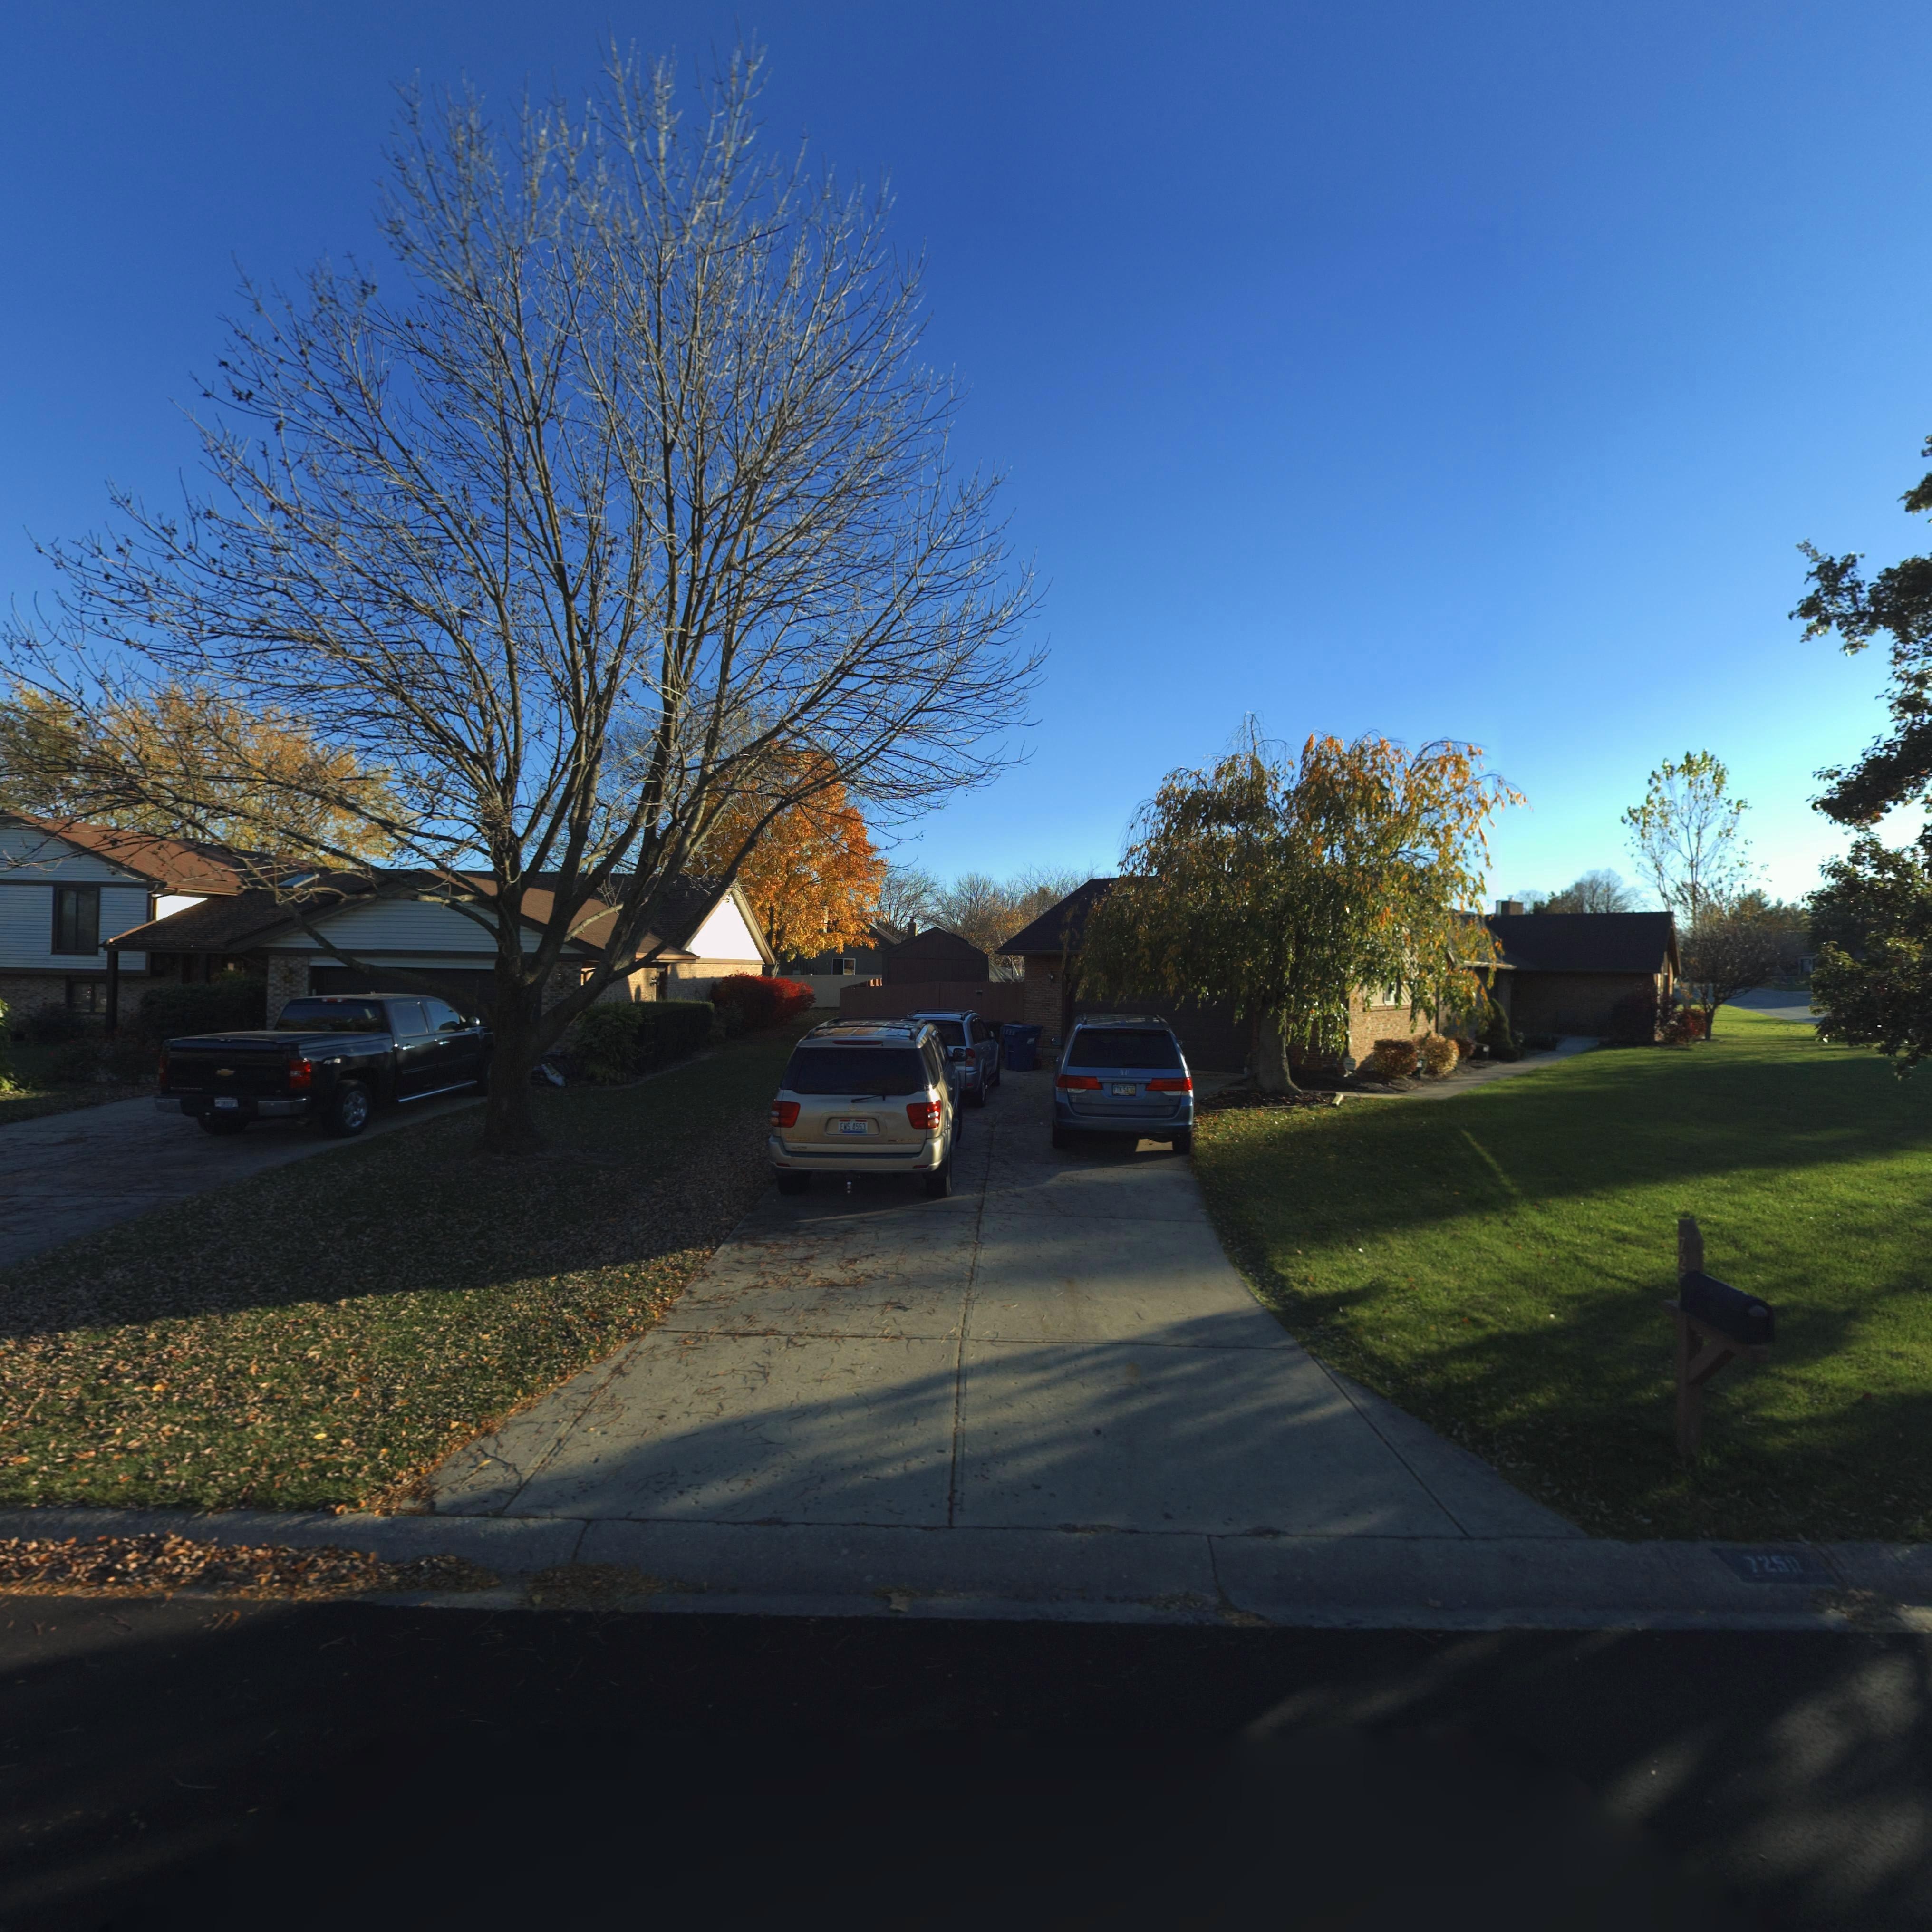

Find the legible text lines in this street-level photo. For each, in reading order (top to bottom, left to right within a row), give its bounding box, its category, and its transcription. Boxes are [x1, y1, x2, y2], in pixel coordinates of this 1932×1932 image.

[1677, 1235, 1689, 1272] StreetNumber: 72
[1739, 1553, 1805, 1578] StreetNumber: 7250